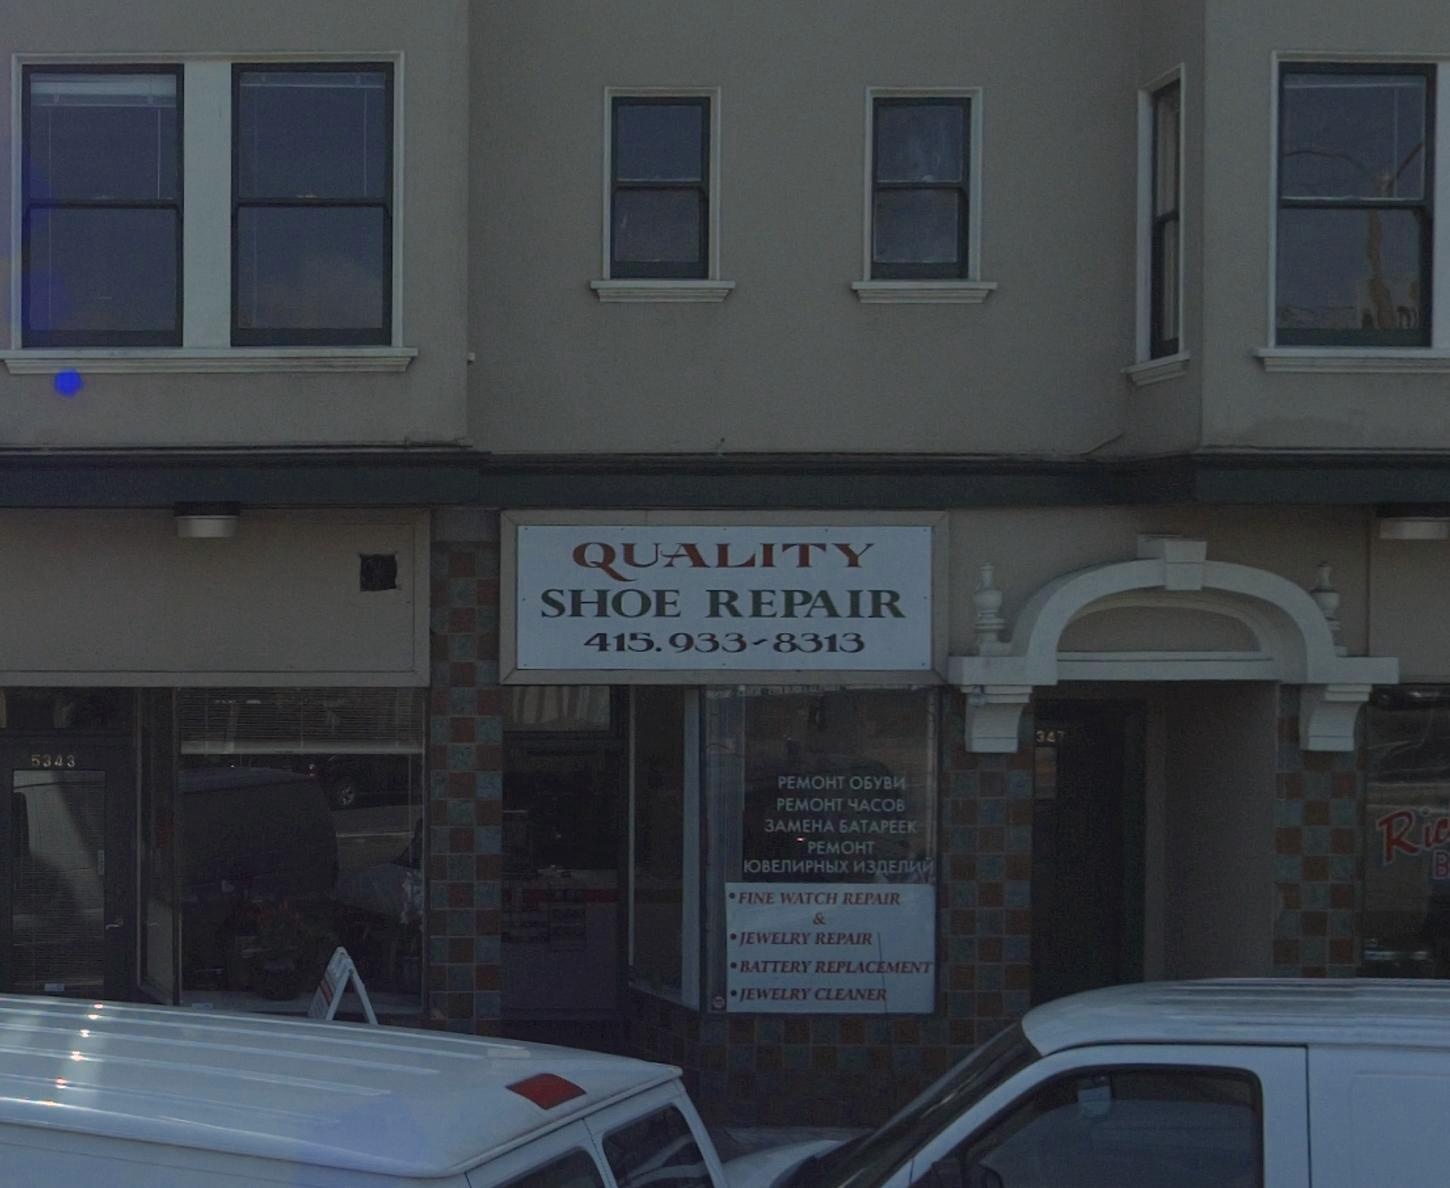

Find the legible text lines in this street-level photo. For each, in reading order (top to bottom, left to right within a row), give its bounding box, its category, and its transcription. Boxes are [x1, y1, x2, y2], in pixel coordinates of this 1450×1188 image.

[571, 540, 877, 583] BusinessName: QUALITY
[538, 585, 907, 620] BusinessName: SHOE REPAIR
[583, 631, 867, 655] None: 415.933-8313
[1030, 725, 1067, 747] StreetNumber: 347
[28, 749, 79, 771] StreetNumber: 5343
[775, 773, 909, 792] None: PEMOHT O*YB*
[774, 796, 907, 814] None: PEMOHT *ACOB
[761, 816, 920, 837] None: 3AMEHA *ATAPEEK
[805, 837, 876, 857] None: PEMOHT
[1369, 802, 1438, 872] BusinessName: Ri
[740, 857, 936, 876] None: IOBE**PH*IX ***E***
[1430, 850, 1450, 884] None: B
[737, 889, 902, 907] None: FINE WATCH REPAIR
[736, 928, 874, 949] None: JEWELRY REPAIR
[737, 957, 935, 976] None: BATTERY REPLACEMENT
[735, 985, 889, 1006] None: JEWELRY CLEANER